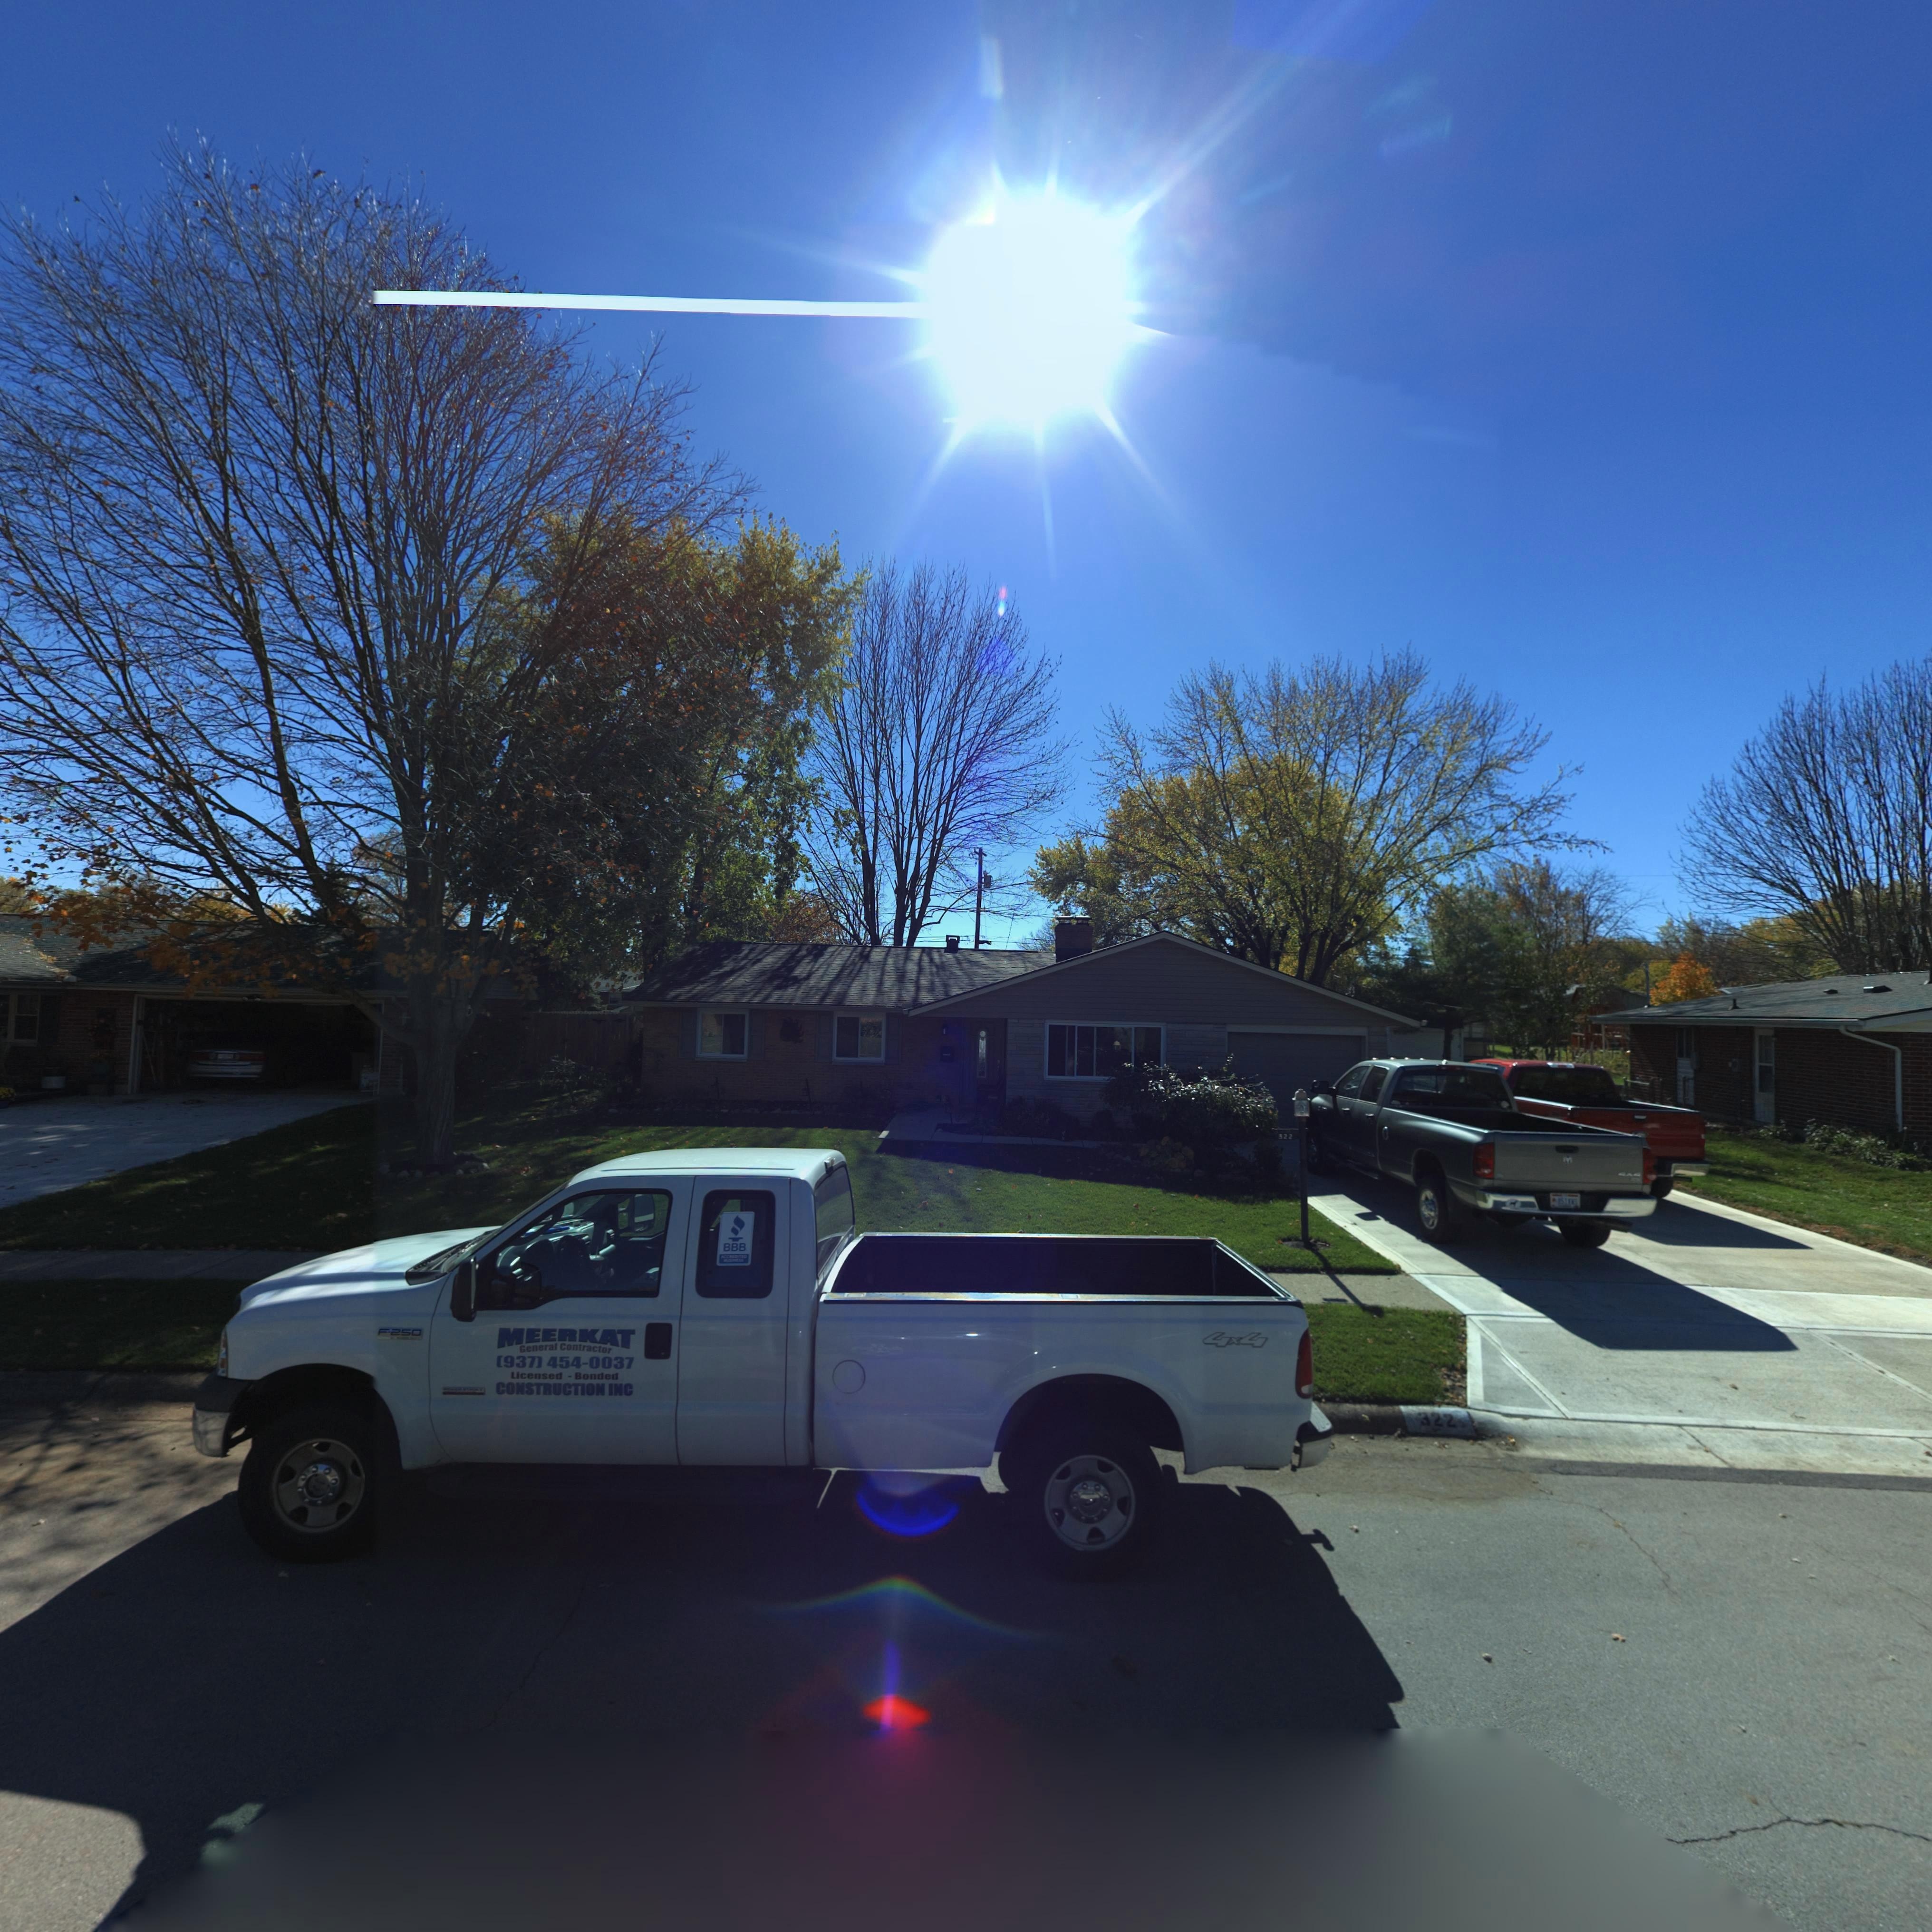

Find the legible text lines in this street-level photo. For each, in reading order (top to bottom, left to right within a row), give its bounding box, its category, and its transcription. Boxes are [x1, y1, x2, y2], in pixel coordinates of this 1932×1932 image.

[1277, 1132, 1294, 1141] StreetNumber: 322
[1616, 1171, 1642, 1178] None: 4x4
[722, 1242, 747, 1252] None: BBB
[377, 1327, 423, 1337] None: F-250
[495, 1326, 638, 1351] None: MEERKAT
[1201, 1331, 1270, 1349] None: 4x4
[518, 1342, 616, 1355] None: General Contractor
[495, 1354, 637, 1371] None: (937) 454-0037
[509, 1370, 619, 1381] None: Lincensed - Bonded
[494, 1381, 635, 1398] None: CONSTRUCTION INC
[1414, 1410, 1459, 1429] StreetNumber: 322